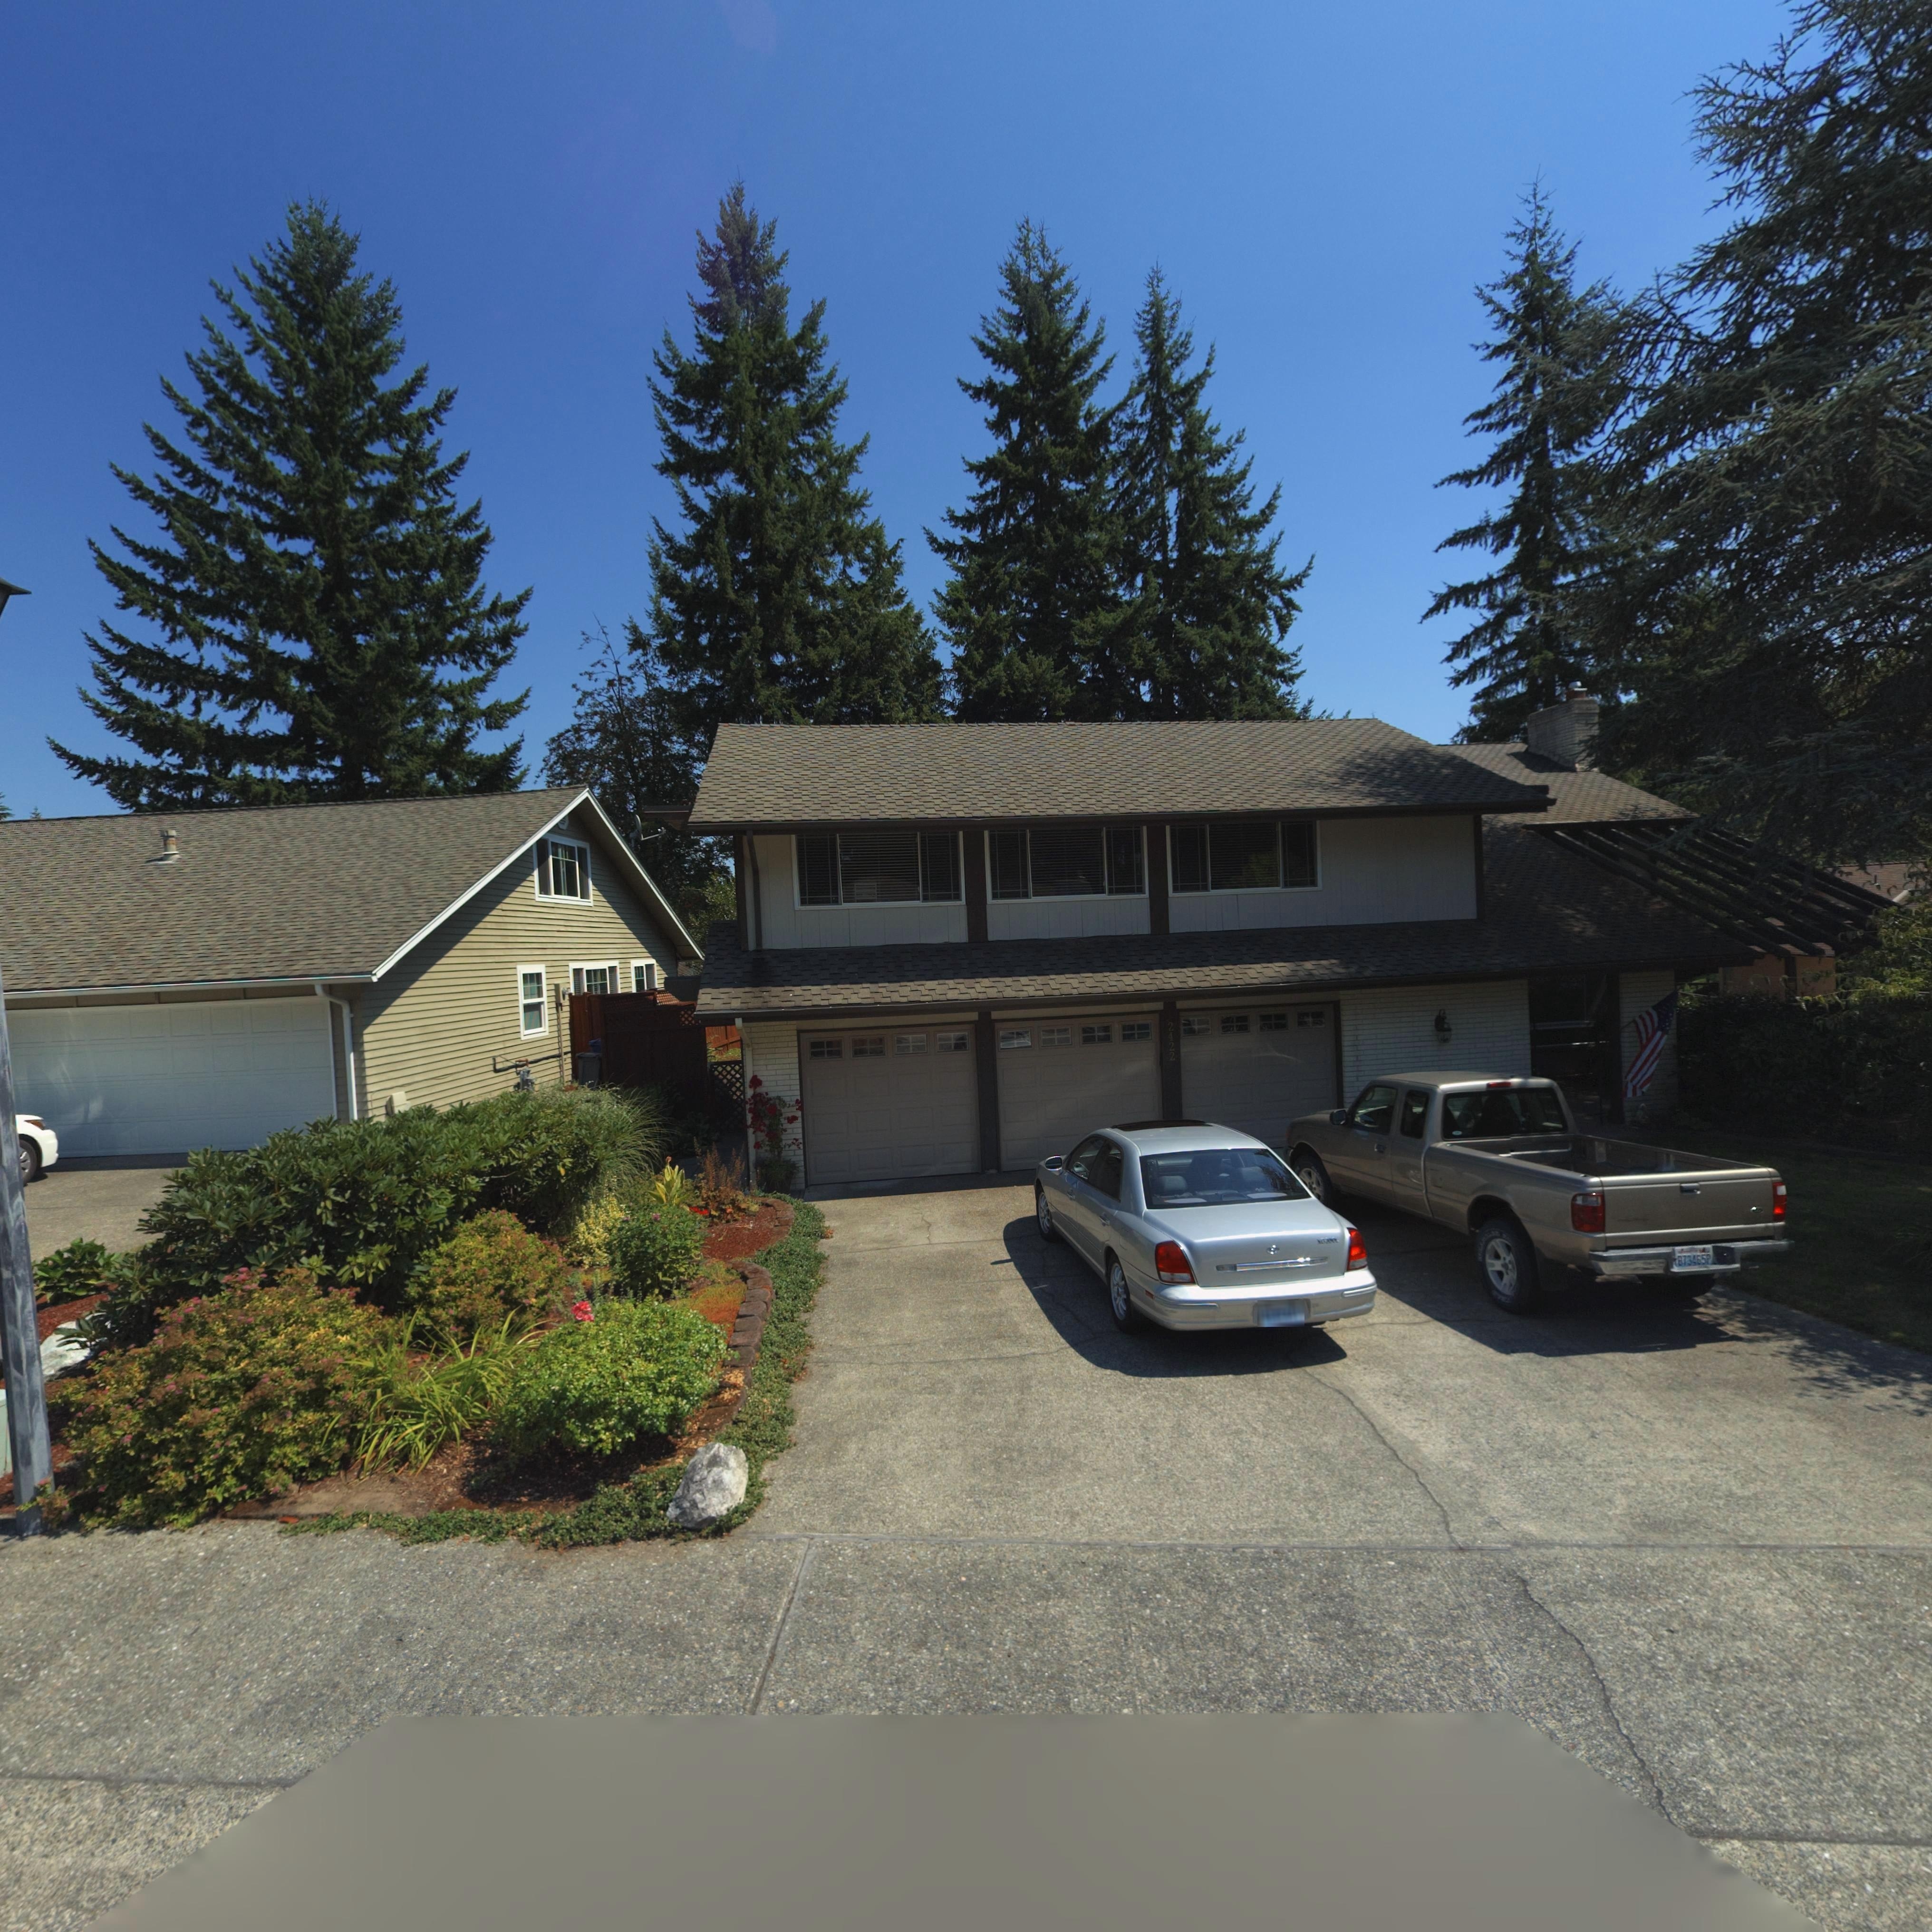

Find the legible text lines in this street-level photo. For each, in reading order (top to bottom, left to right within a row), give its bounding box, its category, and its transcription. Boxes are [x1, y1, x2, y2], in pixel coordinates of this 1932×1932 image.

[1168, 1022, 1175, 1061] StreetNumber: 2422